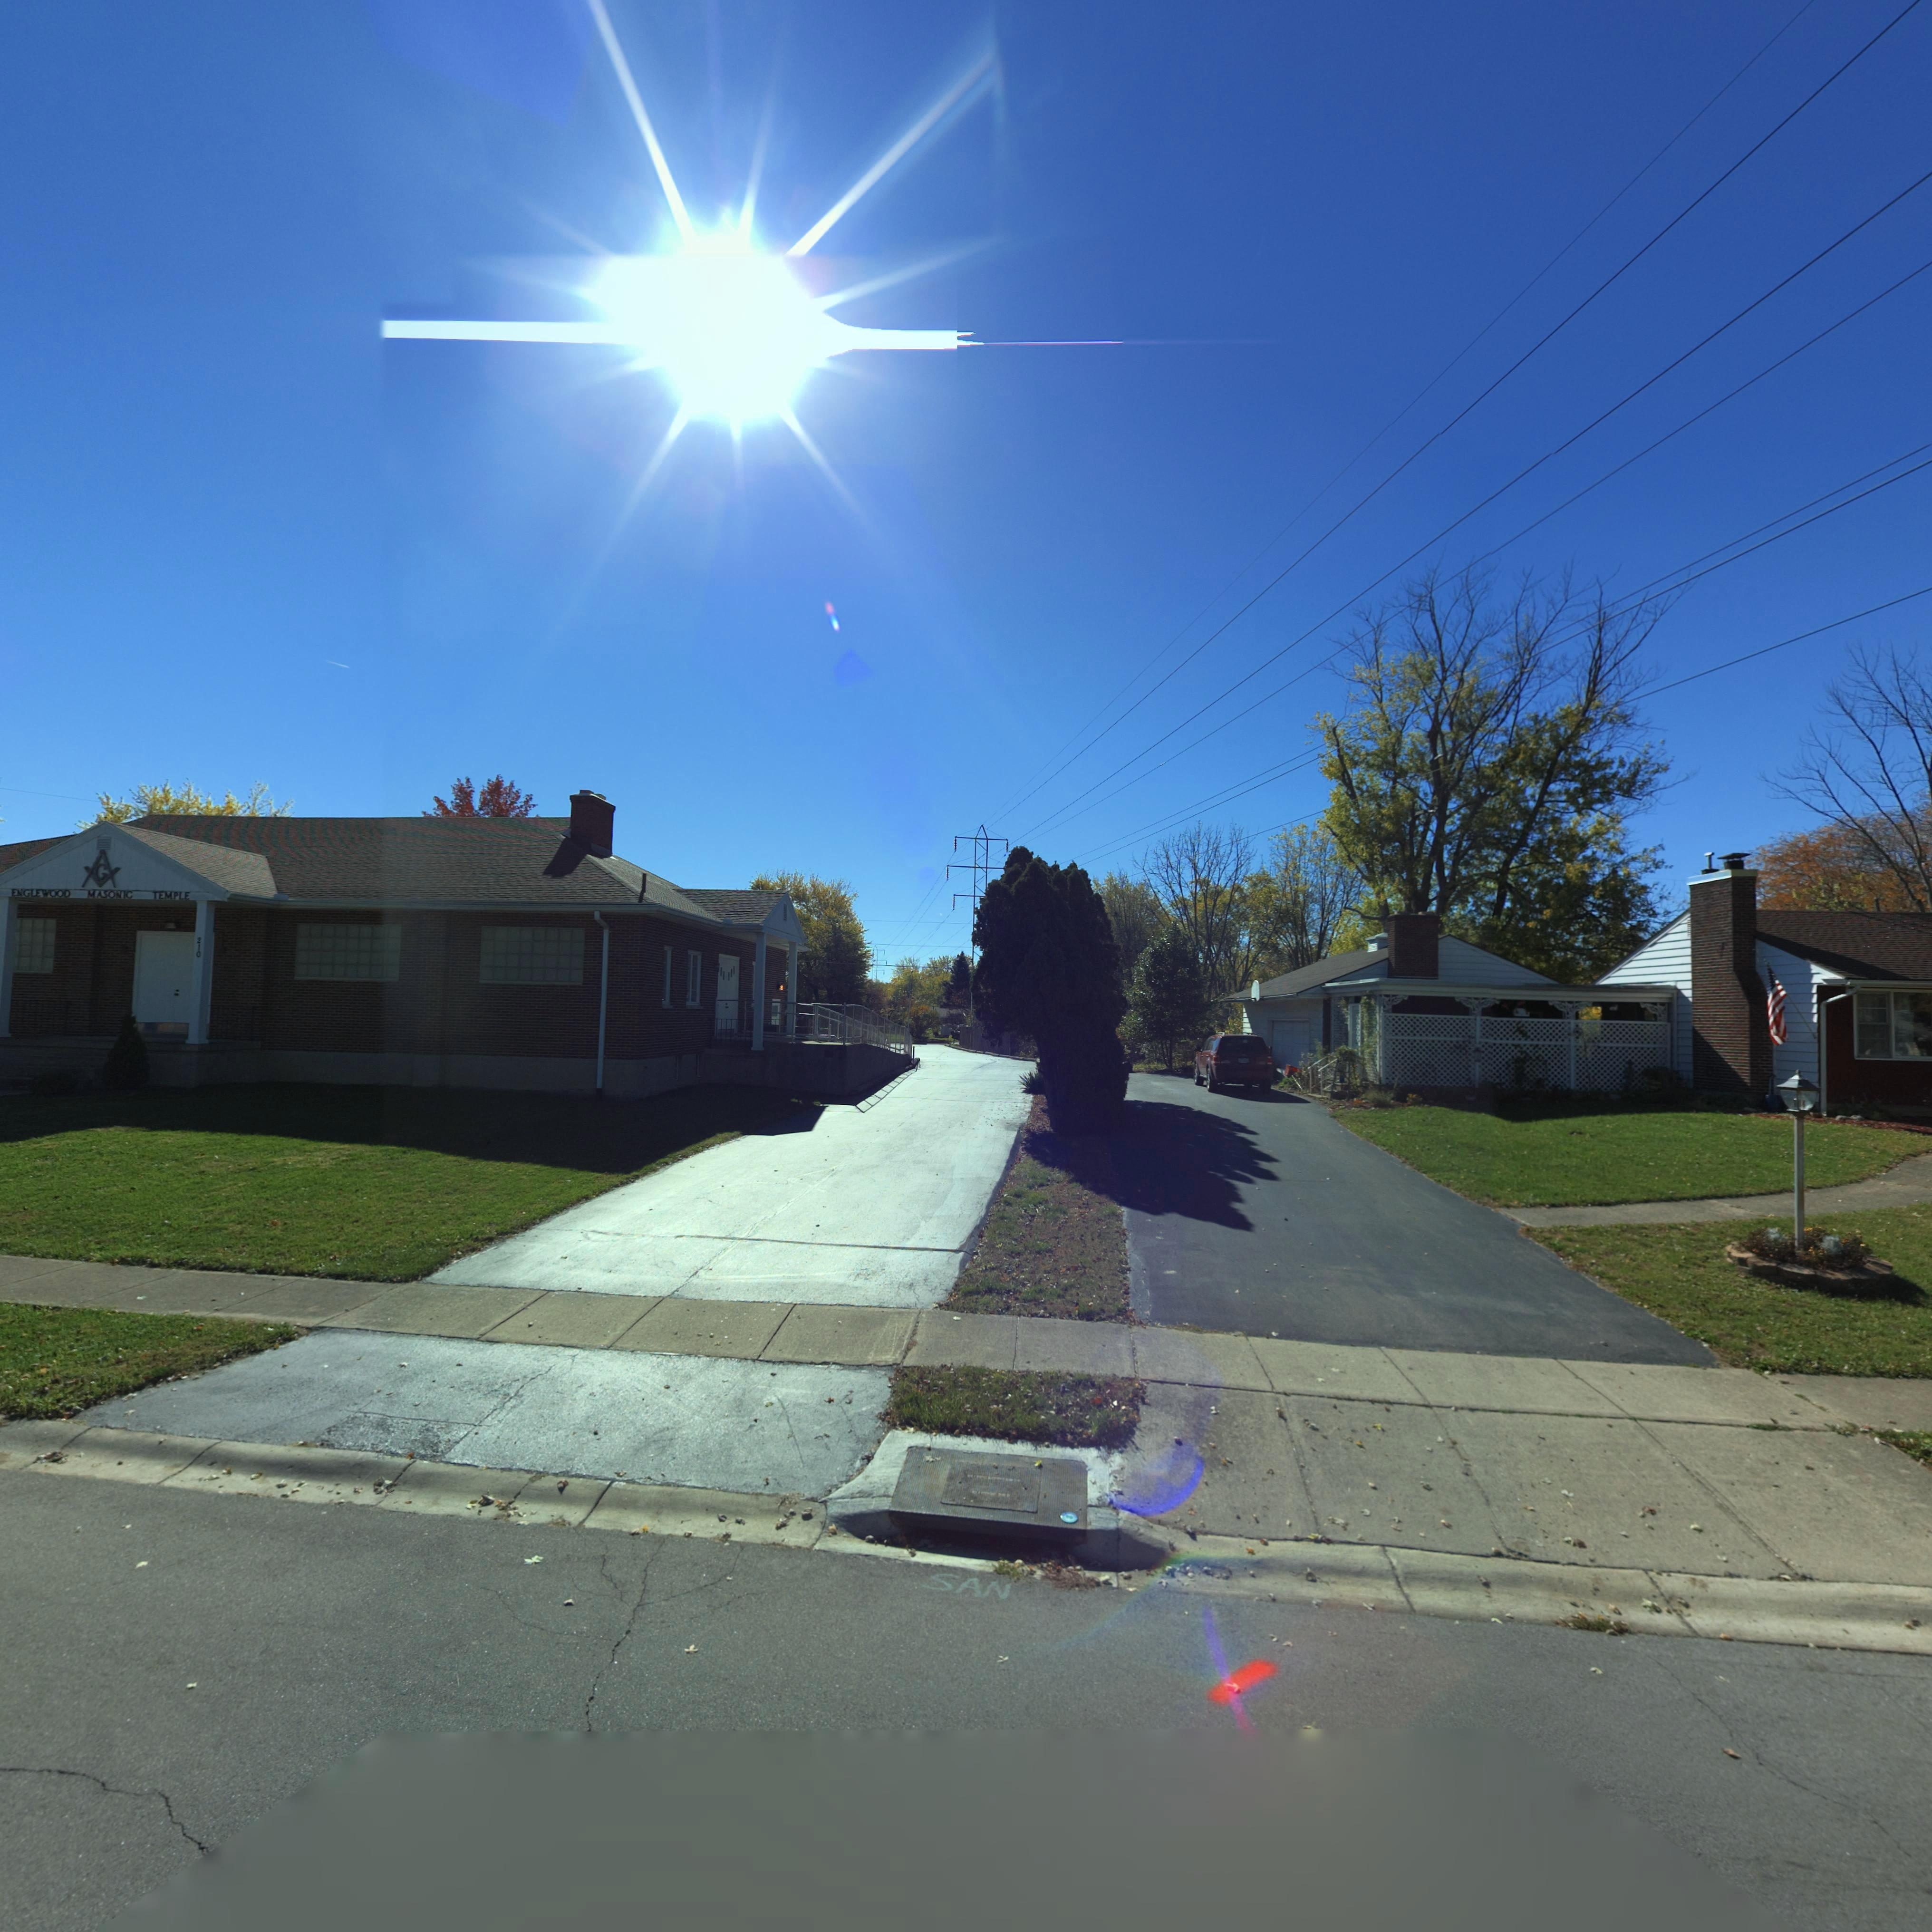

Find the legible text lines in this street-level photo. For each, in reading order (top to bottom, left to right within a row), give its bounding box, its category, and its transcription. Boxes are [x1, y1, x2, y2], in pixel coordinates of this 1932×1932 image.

[10, 888, 191, 900] BusinessName: ENGLEWOOD MSAONIC TEMPLE
[195, 937, 202, 958] StreetNumber: 210